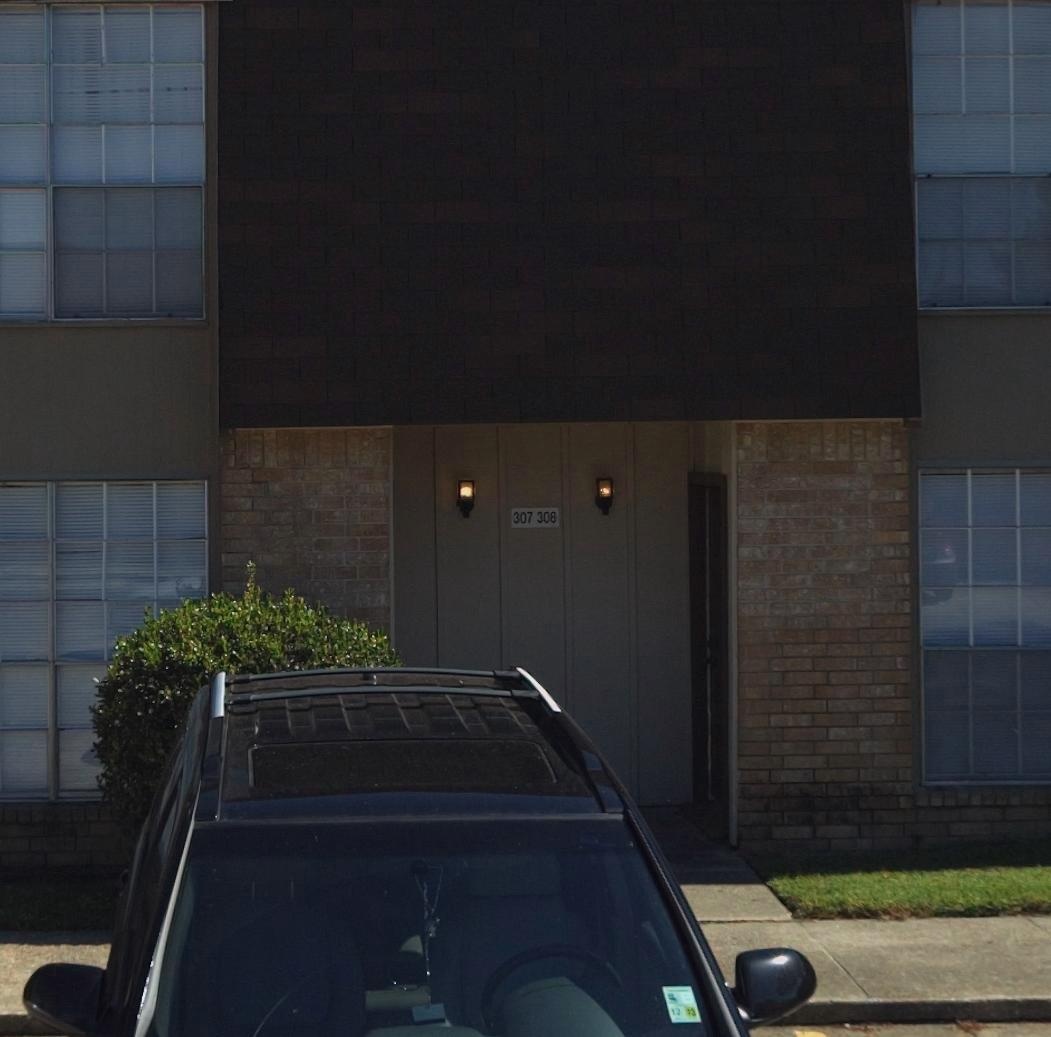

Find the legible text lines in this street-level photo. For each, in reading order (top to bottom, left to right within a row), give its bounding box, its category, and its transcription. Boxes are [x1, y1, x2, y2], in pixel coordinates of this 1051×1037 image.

[511, 509, 535, 525] StreetNumber: 307
[535, 509, 558, 525] StreetNumber: 308